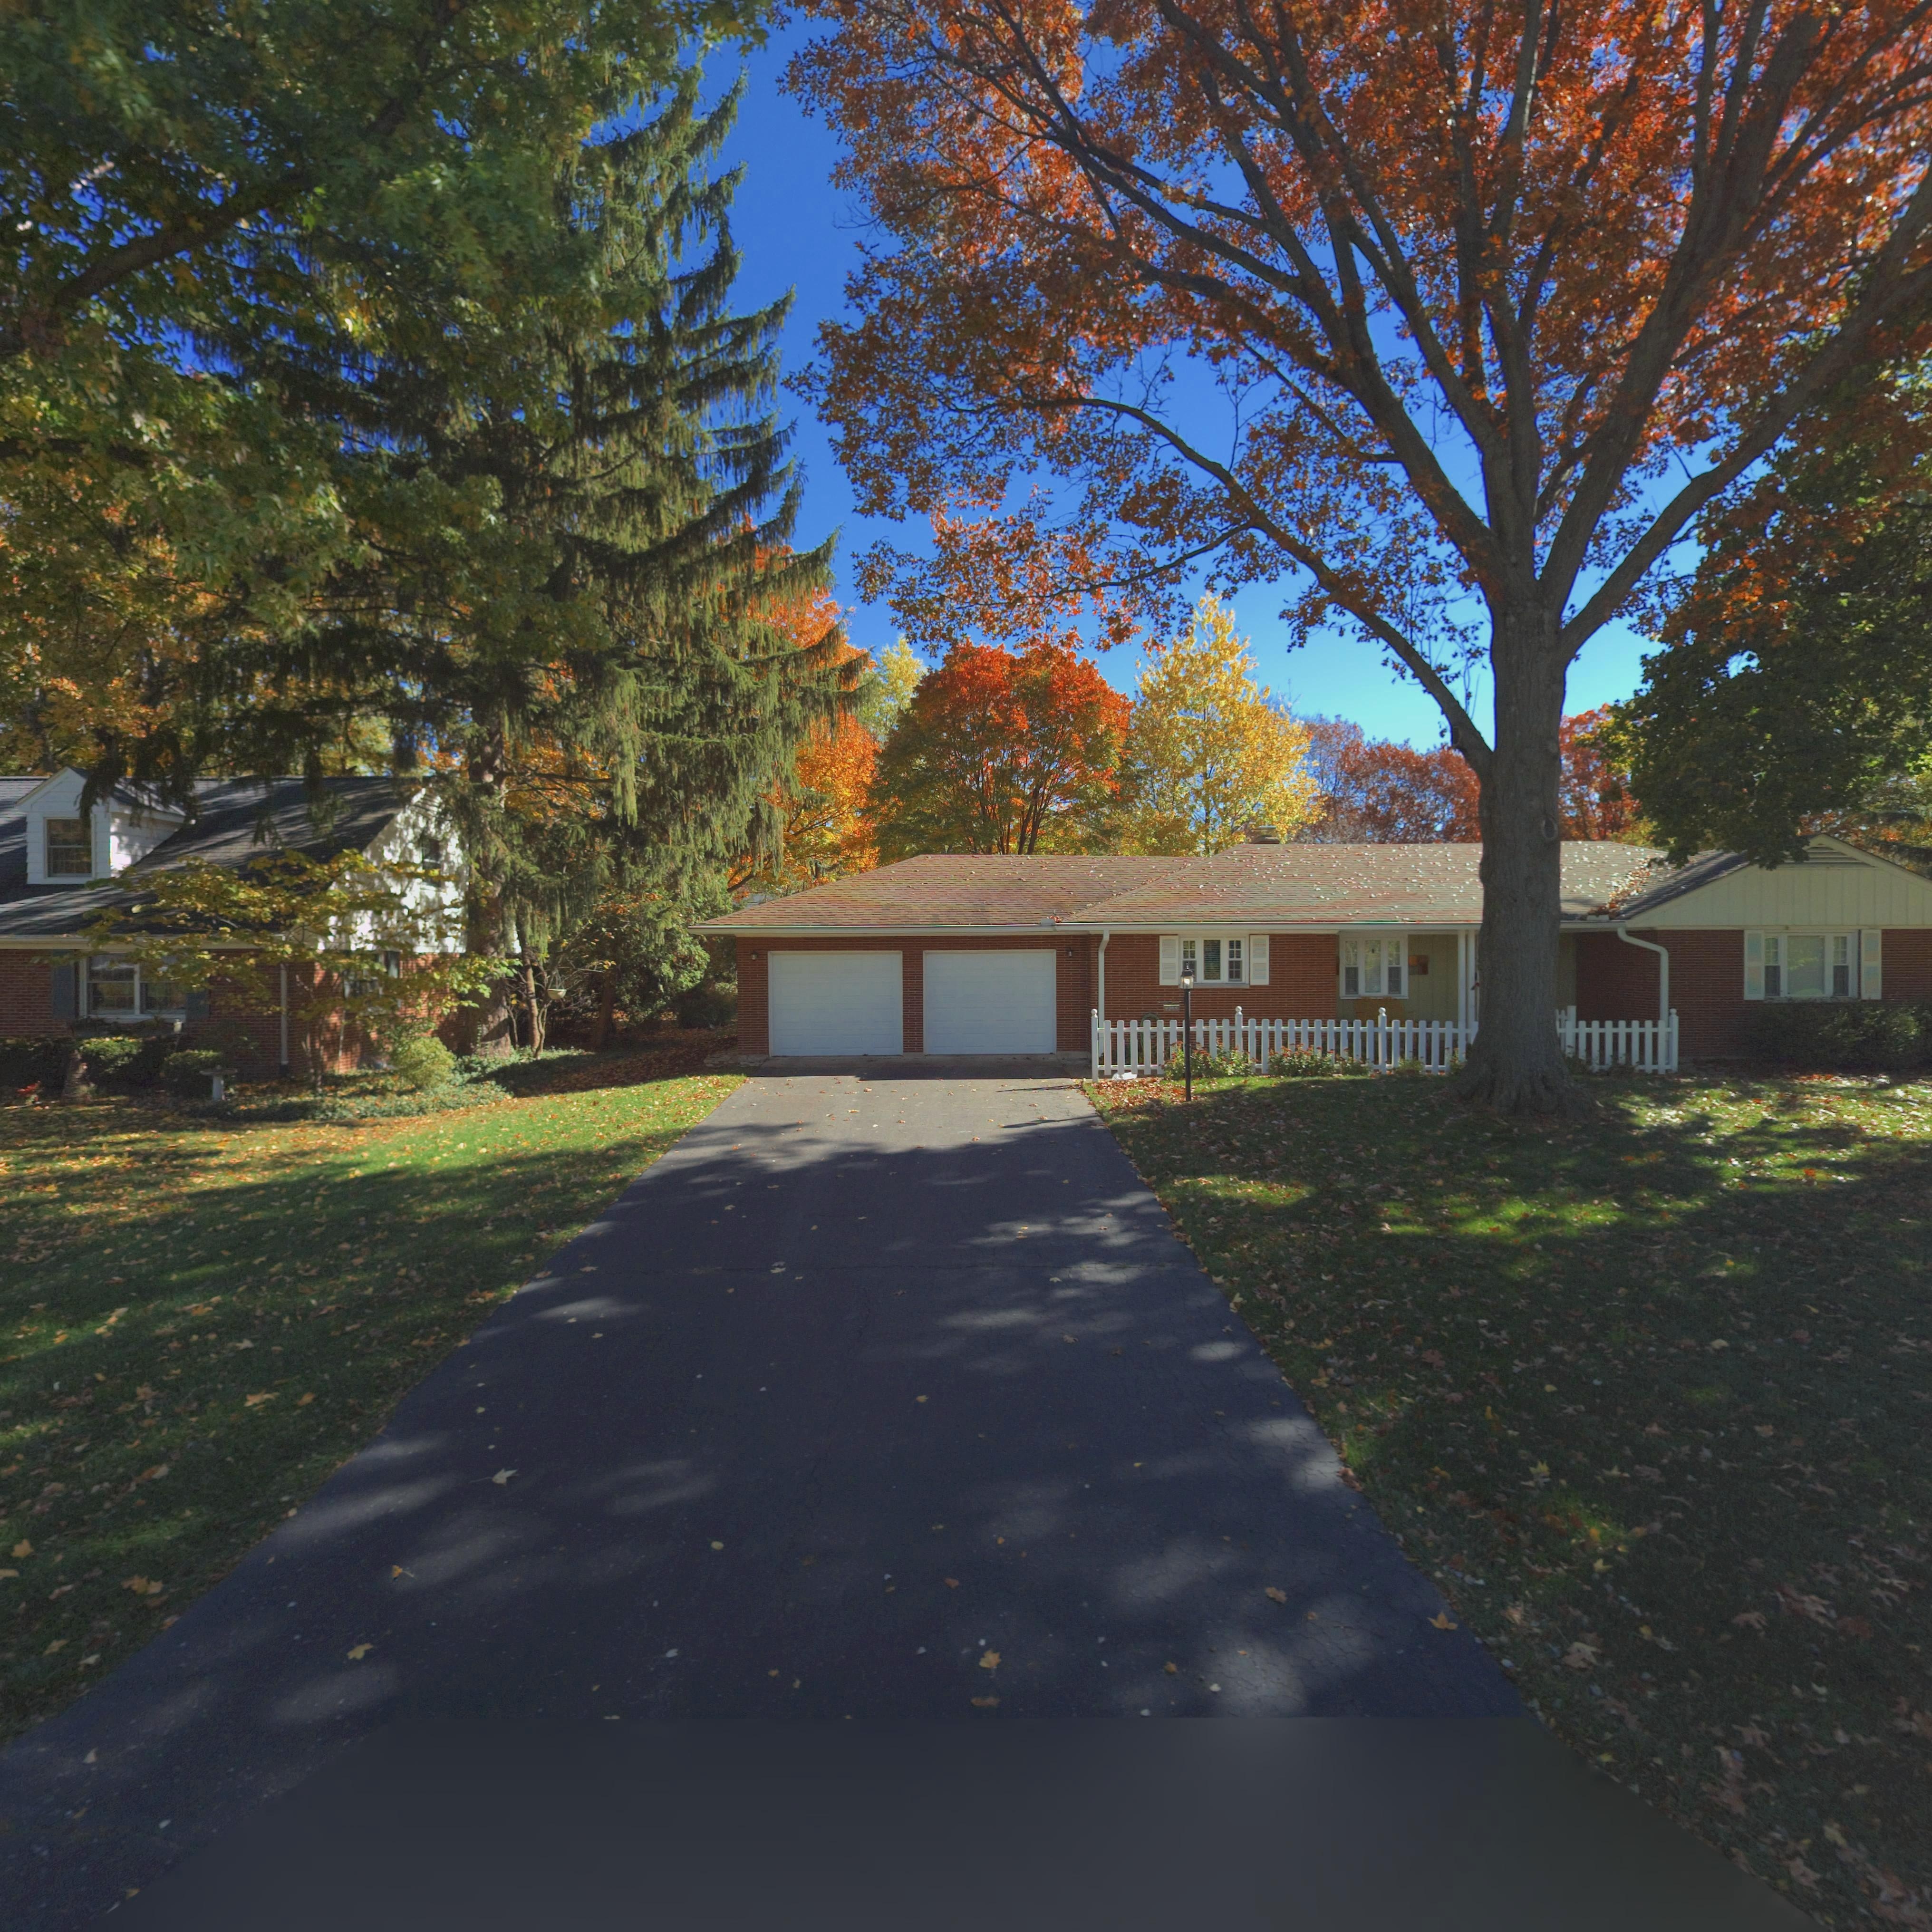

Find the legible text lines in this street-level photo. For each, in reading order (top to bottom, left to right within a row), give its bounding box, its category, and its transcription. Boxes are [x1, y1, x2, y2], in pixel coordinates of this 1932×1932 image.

[1164, 1006, 1179, 1011] StreetNumber: 4288